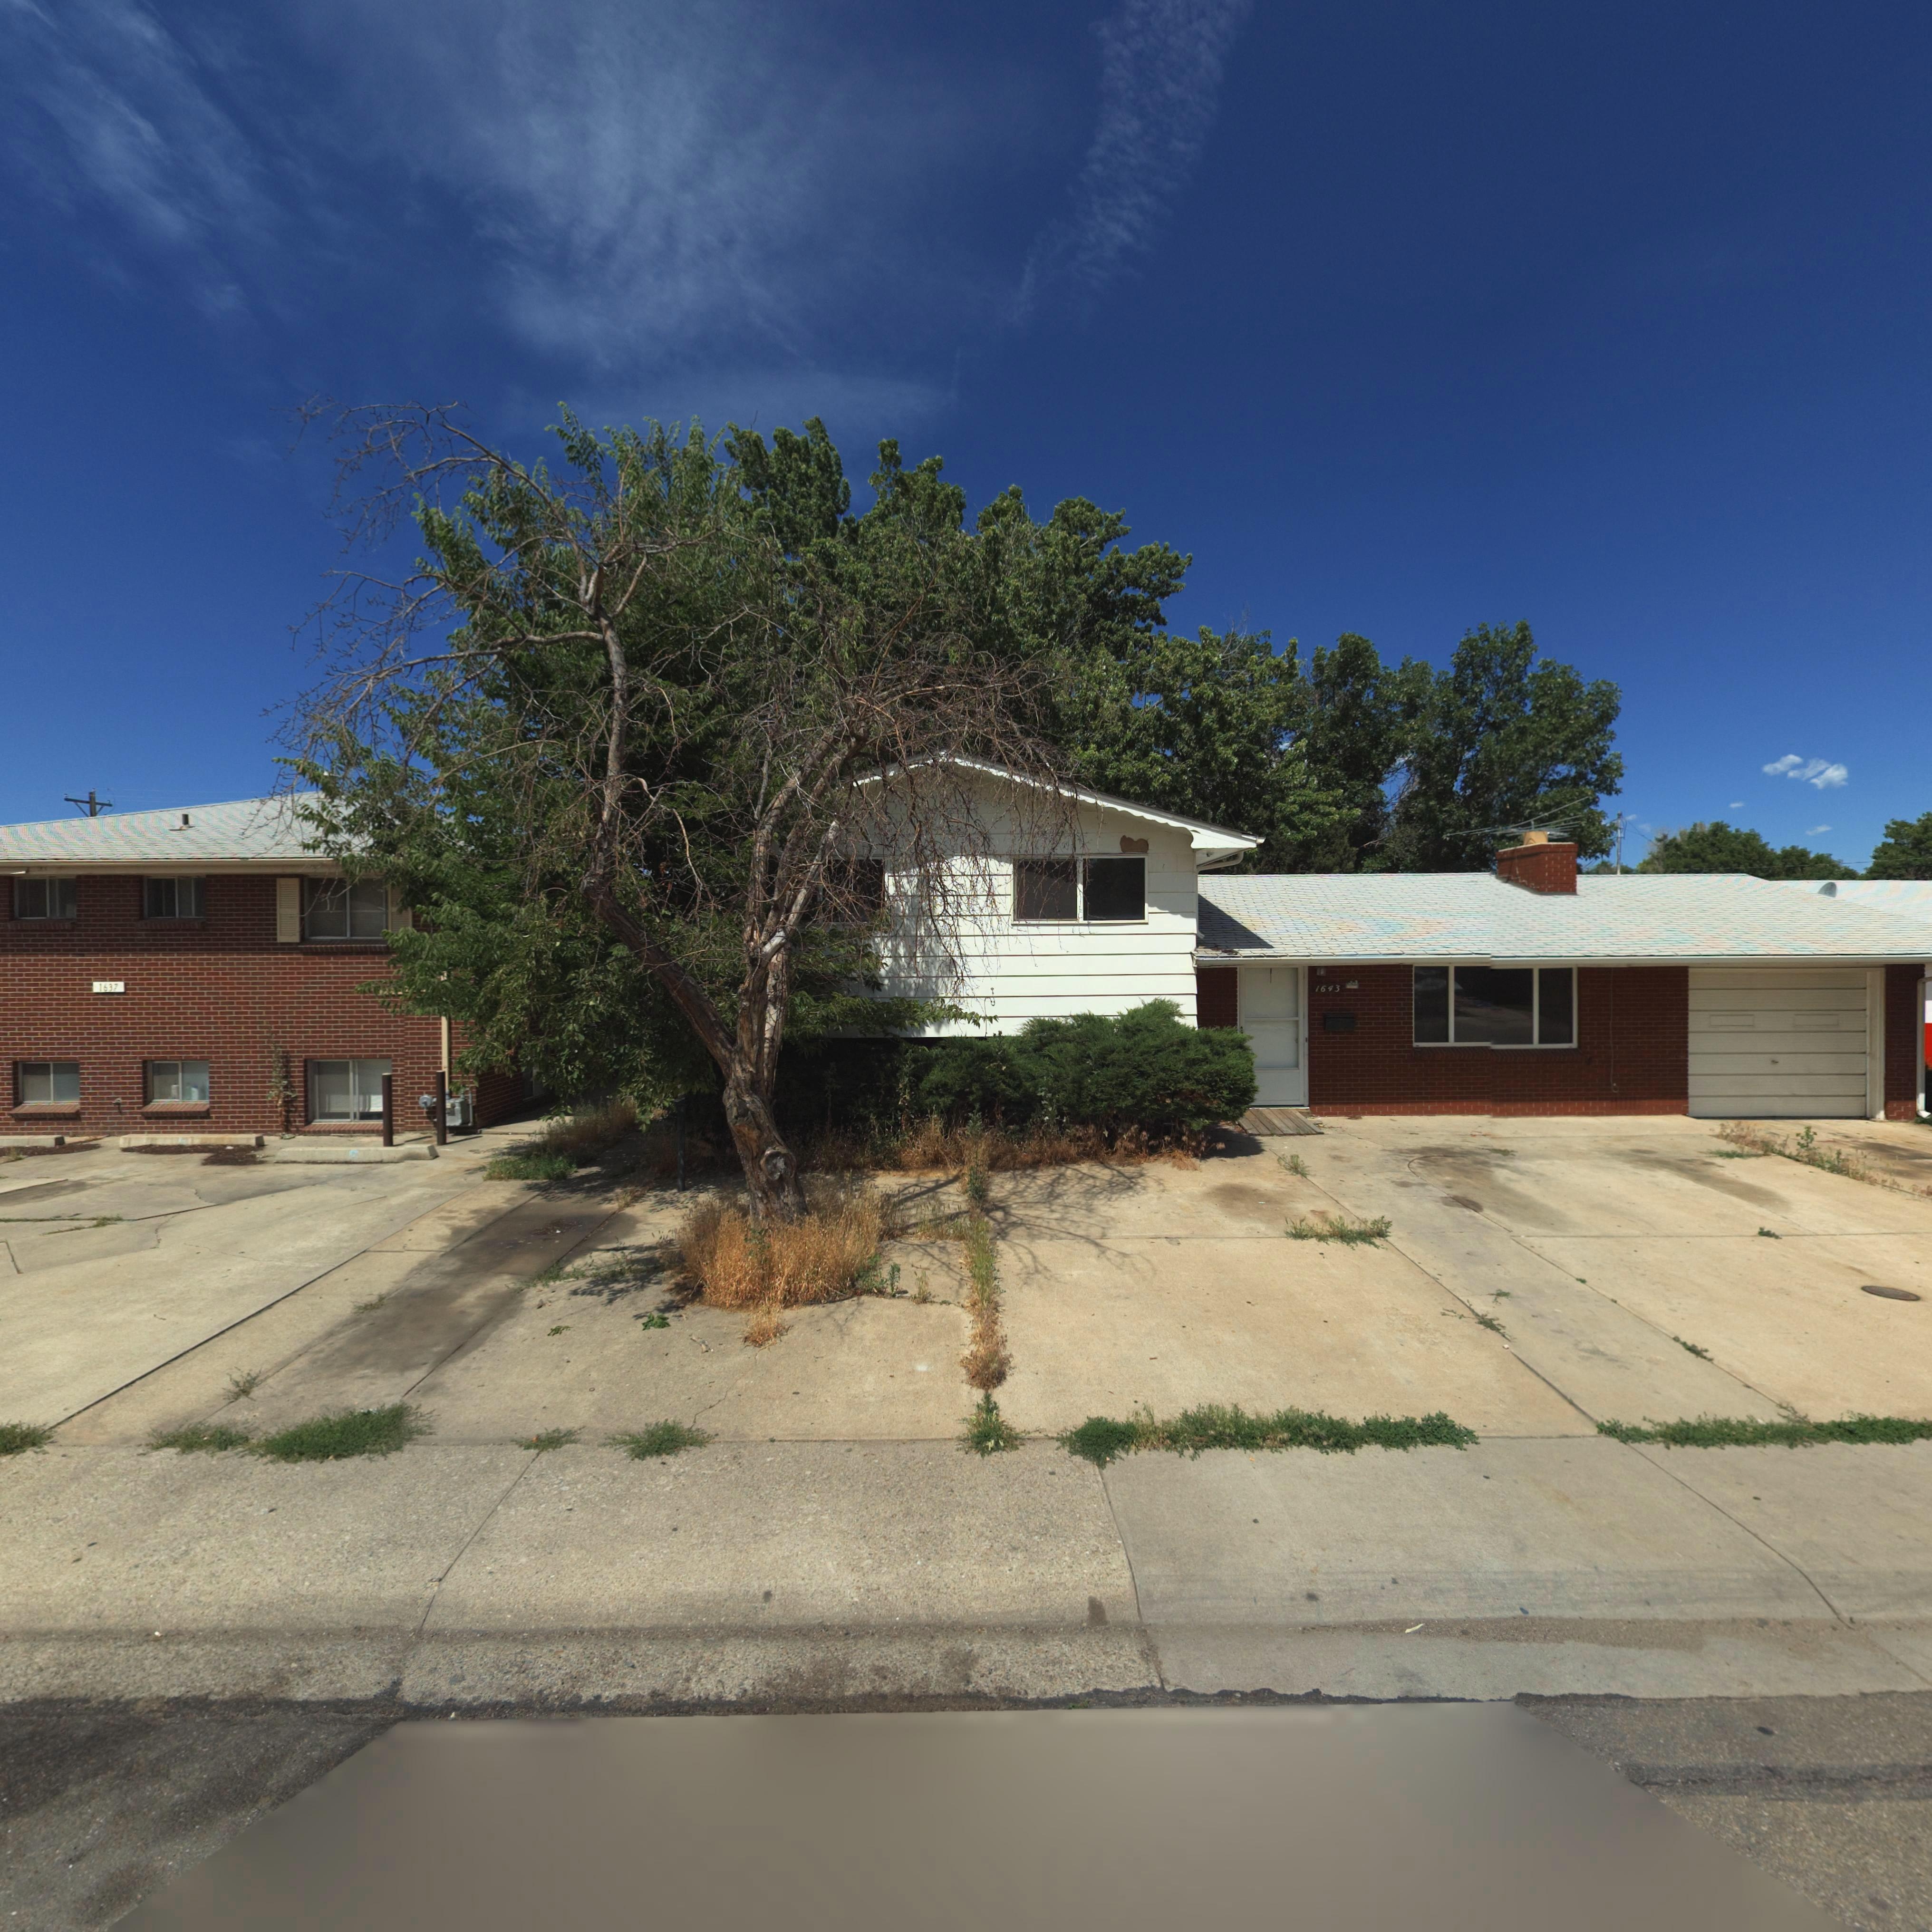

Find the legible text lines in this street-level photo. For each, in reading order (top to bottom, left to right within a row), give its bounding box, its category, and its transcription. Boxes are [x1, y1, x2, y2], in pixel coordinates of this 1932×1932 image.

[98, 983, 118, 992] StreetNumber: 1637
[1315, 984, 1340, 992] StreetNumber: 1643